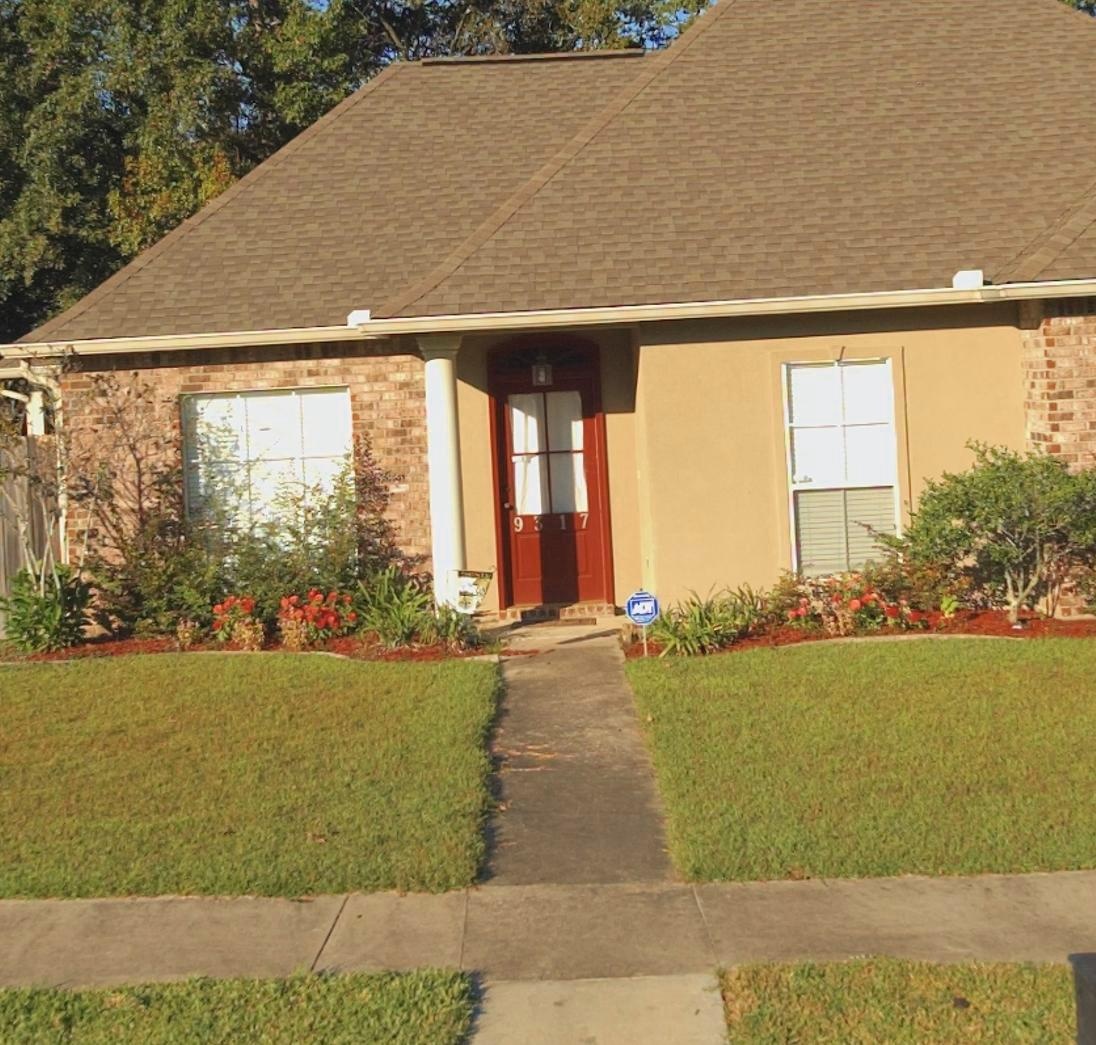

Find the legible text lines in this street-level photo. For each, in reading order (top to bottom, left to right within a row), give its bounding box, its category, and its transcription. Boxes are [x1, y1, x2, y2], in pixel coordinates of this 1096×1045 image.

[512, 512, 590, 533] StreetNumber: 9317
[632, 601, 654, 615] None: ADT